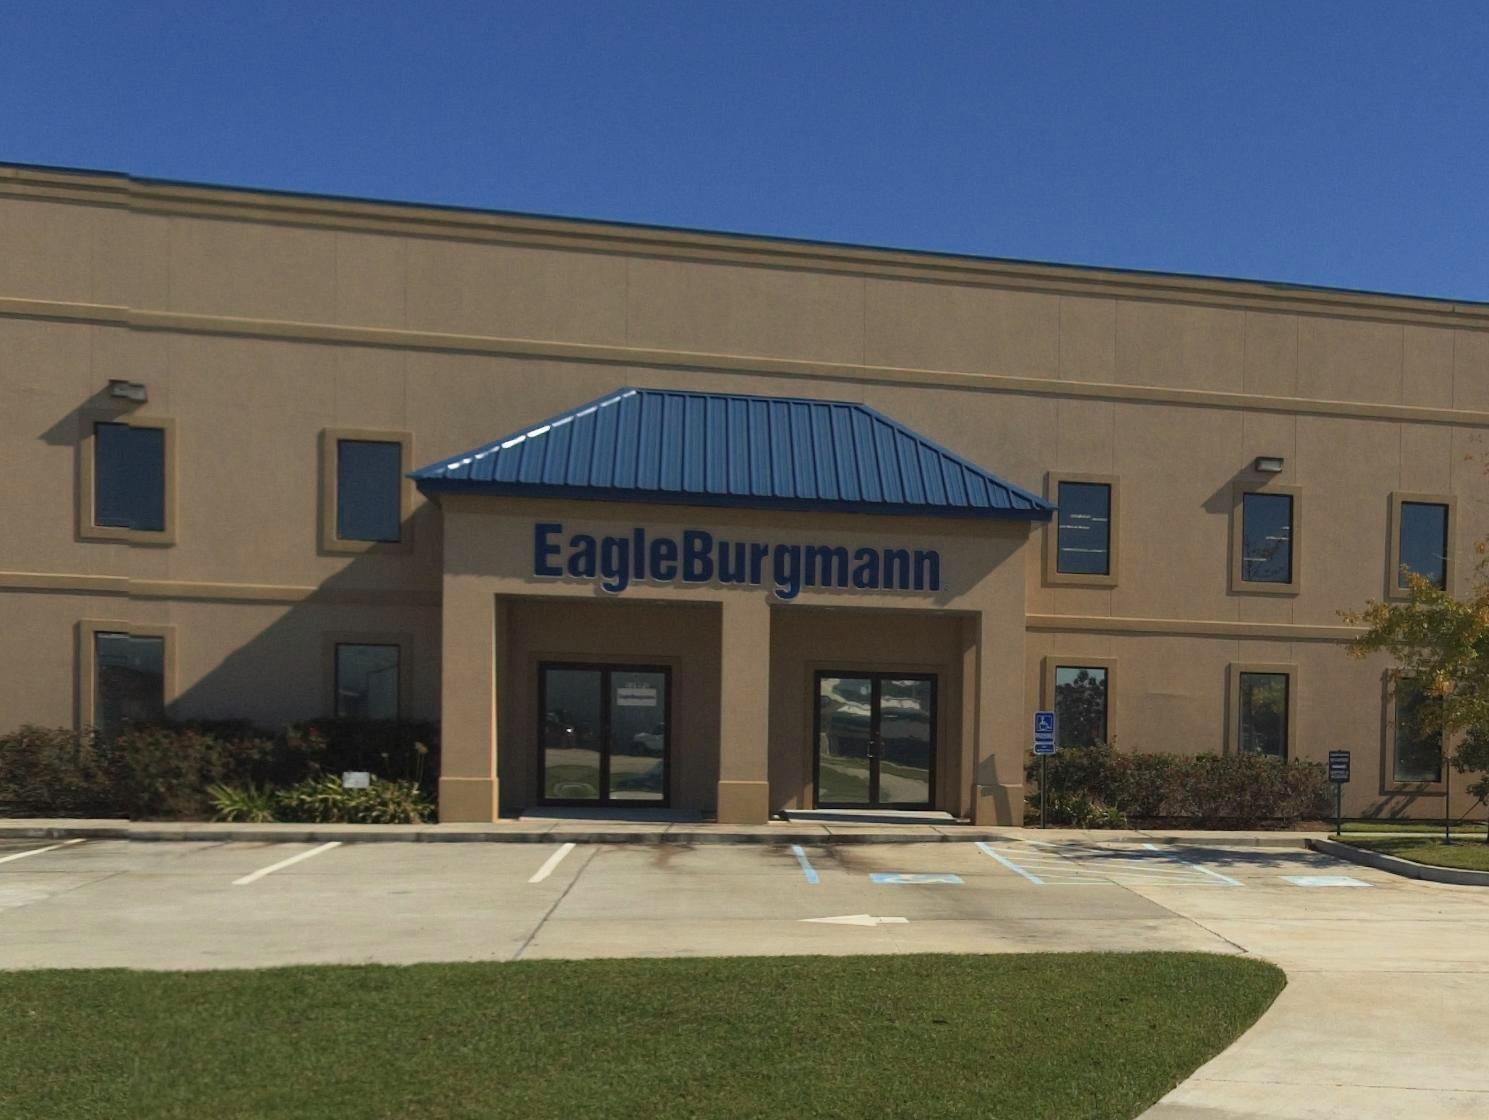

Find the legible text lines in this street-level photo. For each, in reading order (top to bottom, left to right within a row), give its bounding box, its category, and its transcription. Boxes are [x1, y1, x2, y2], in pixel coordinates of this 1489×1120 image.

[530, 518, 945, 603] BusinessName: EagleBurgmann